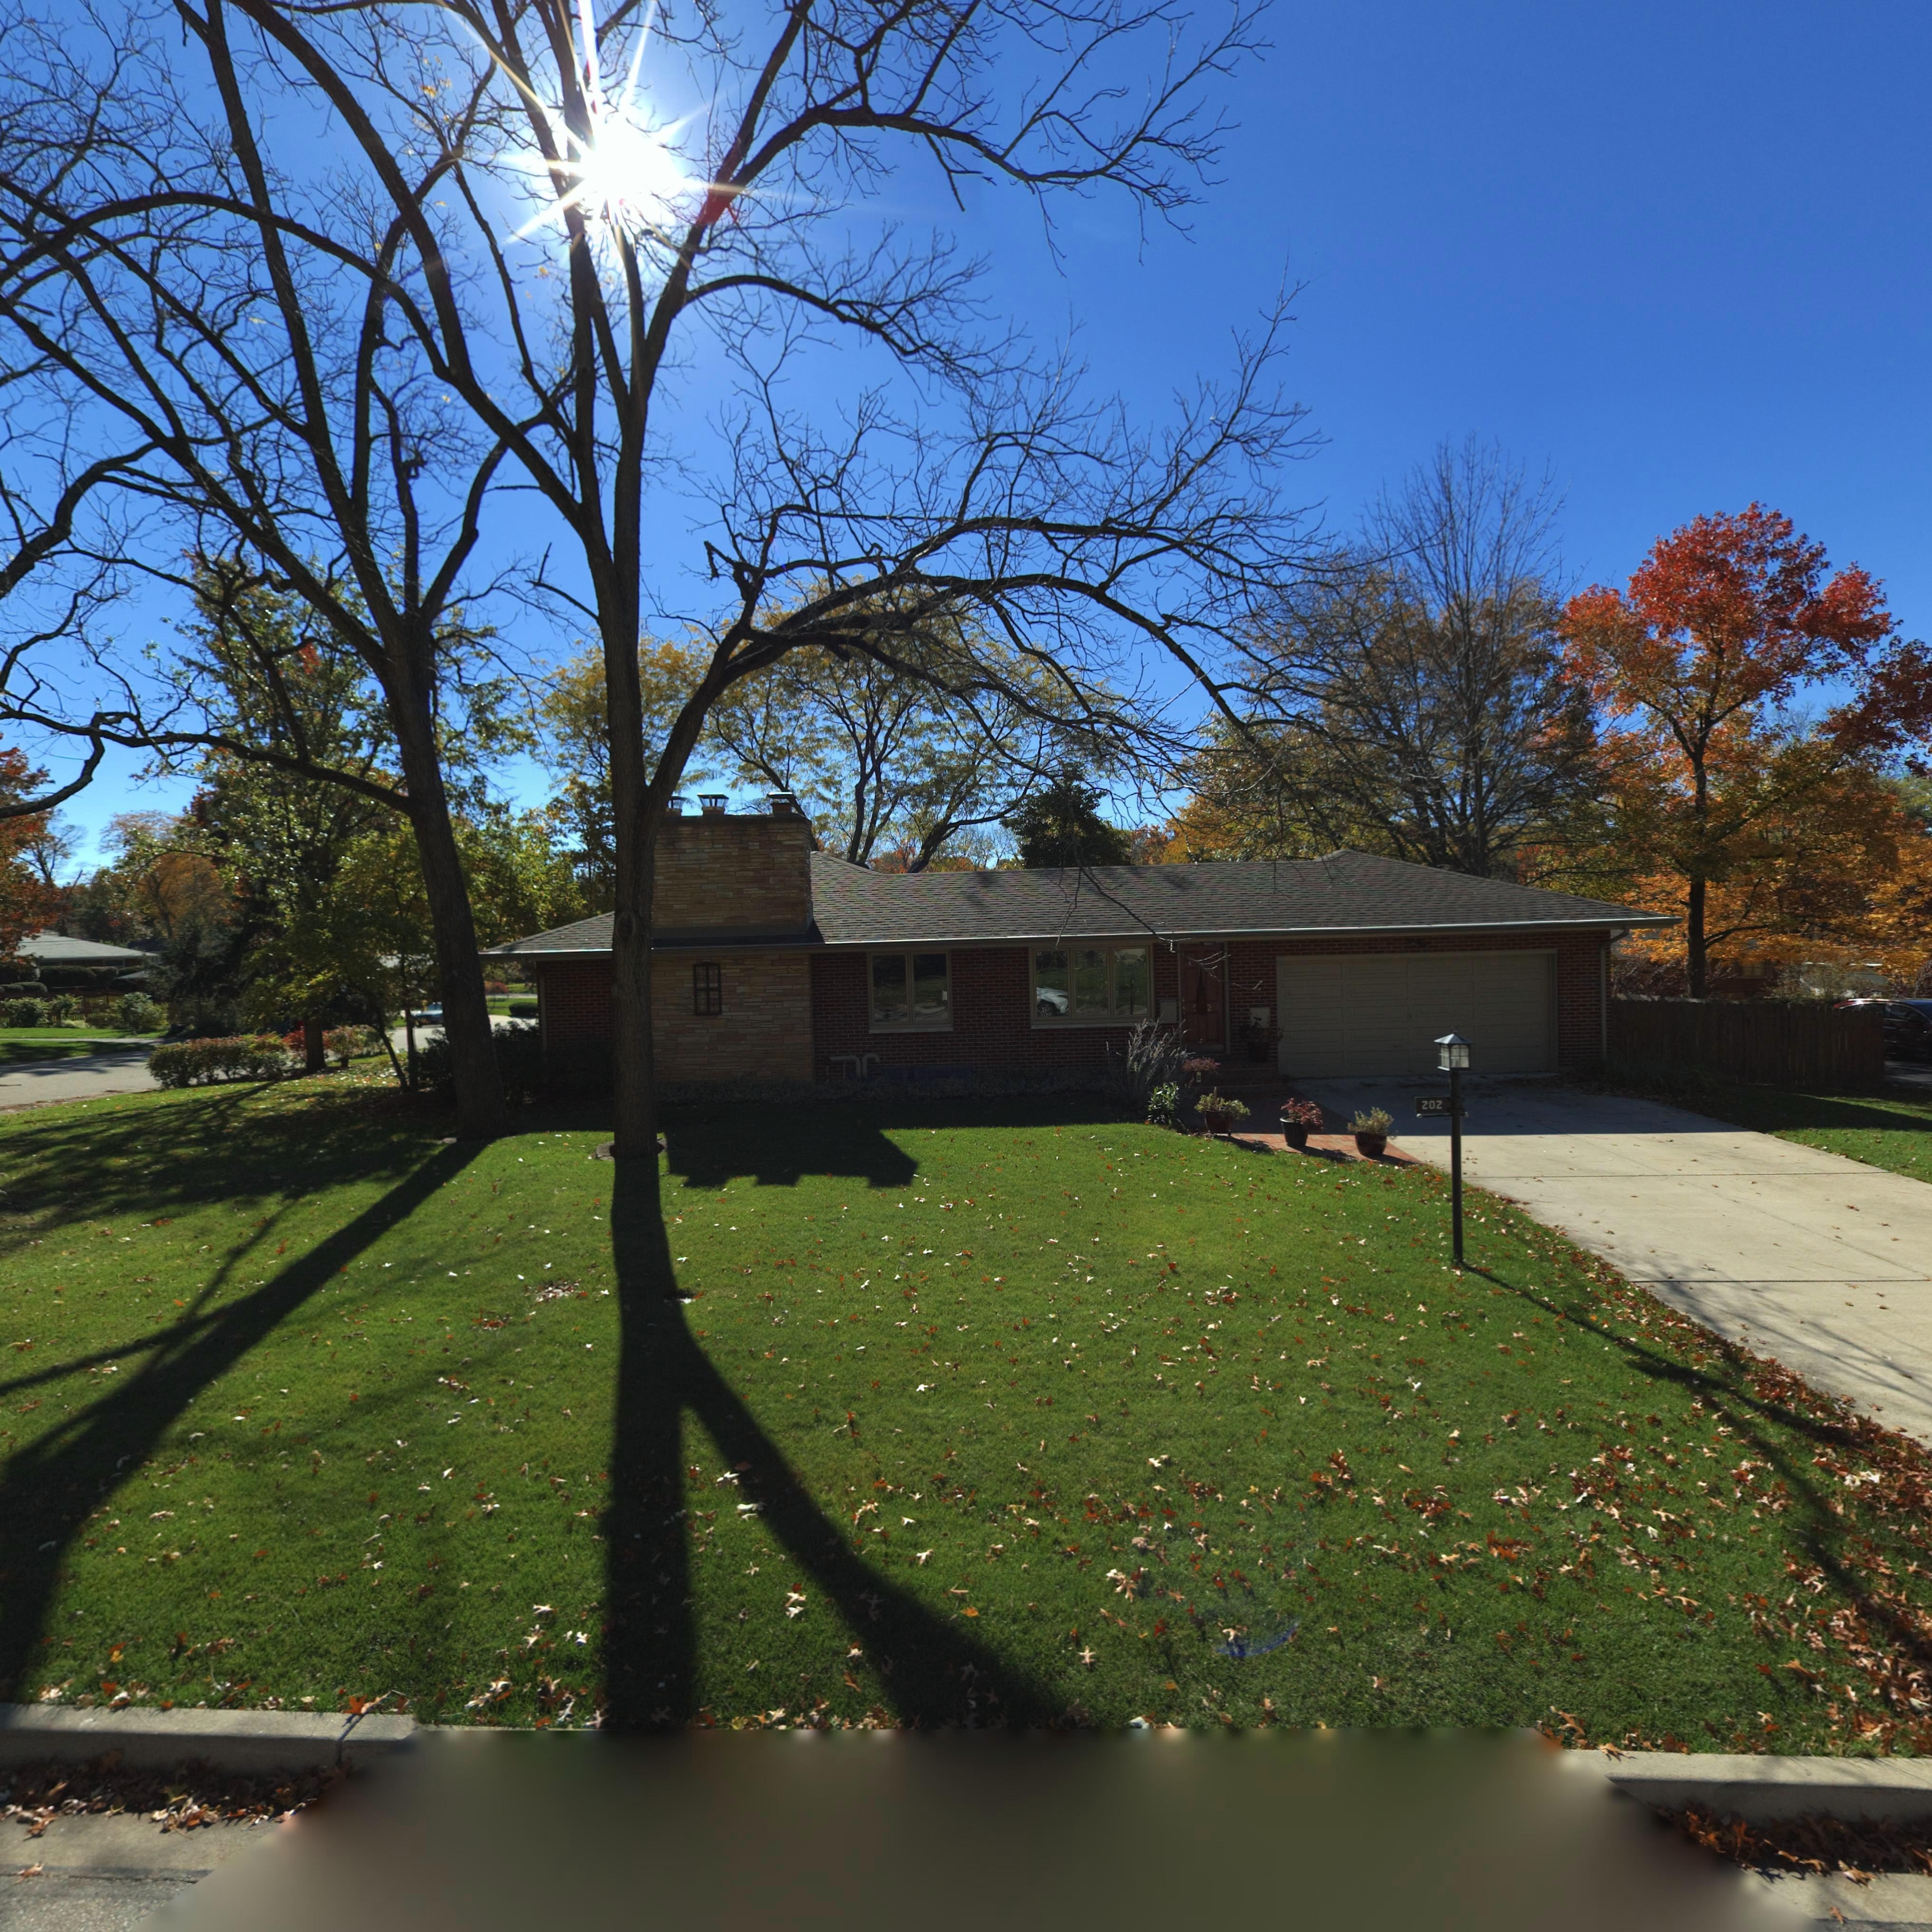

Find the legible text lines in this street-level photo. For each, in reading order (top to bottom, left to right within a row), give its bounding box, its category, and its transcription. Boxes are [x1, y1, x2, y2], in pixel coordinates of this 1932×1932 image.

[1206, 1003, 1212, 1012] StreetNumber: 2
[1420, 1100, 1443, 1110] StreetNumber: 202